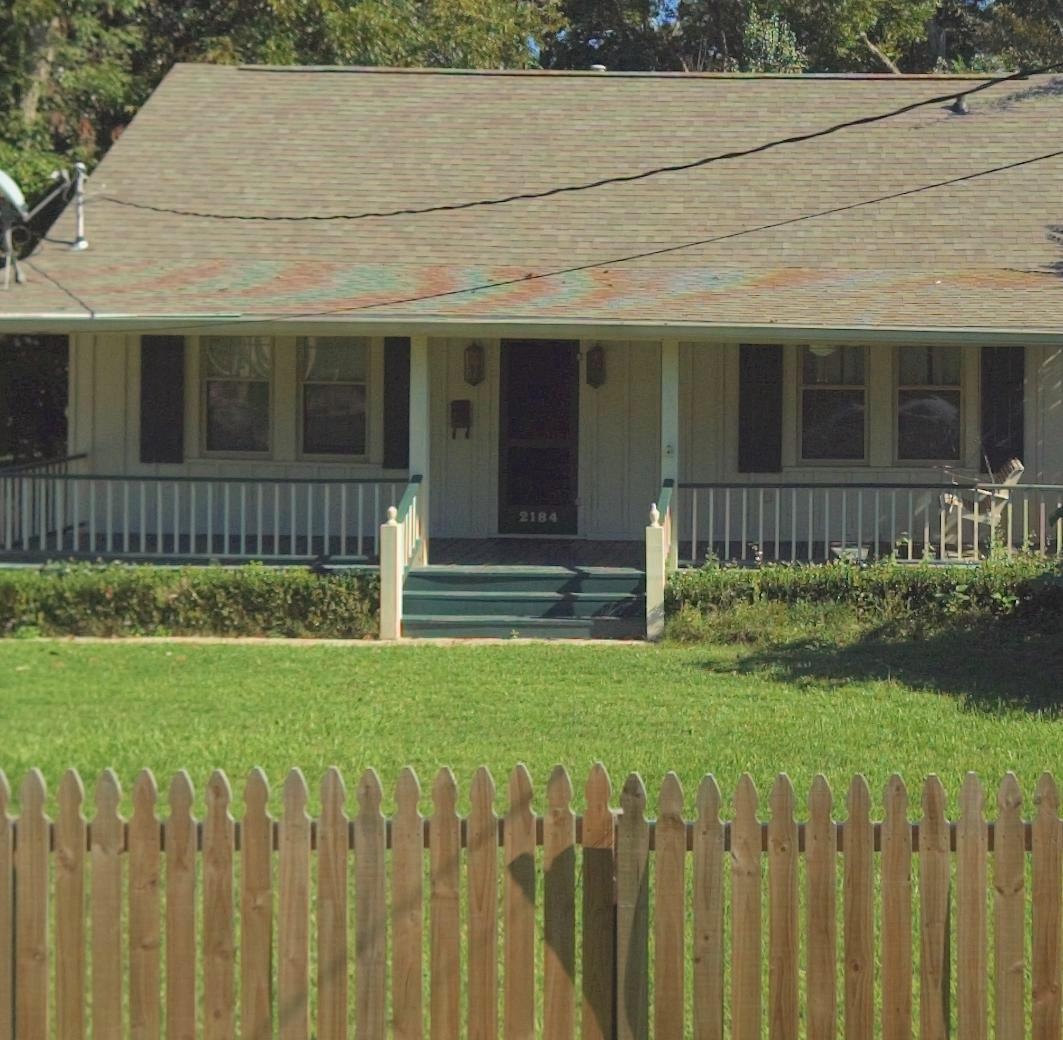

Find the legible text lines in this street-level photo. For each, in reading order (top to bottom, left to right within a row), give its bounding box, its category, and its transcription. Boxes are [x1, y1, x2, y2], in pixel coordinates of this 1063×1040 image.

[517, 509, 559, 525] StreetNumber: 2184